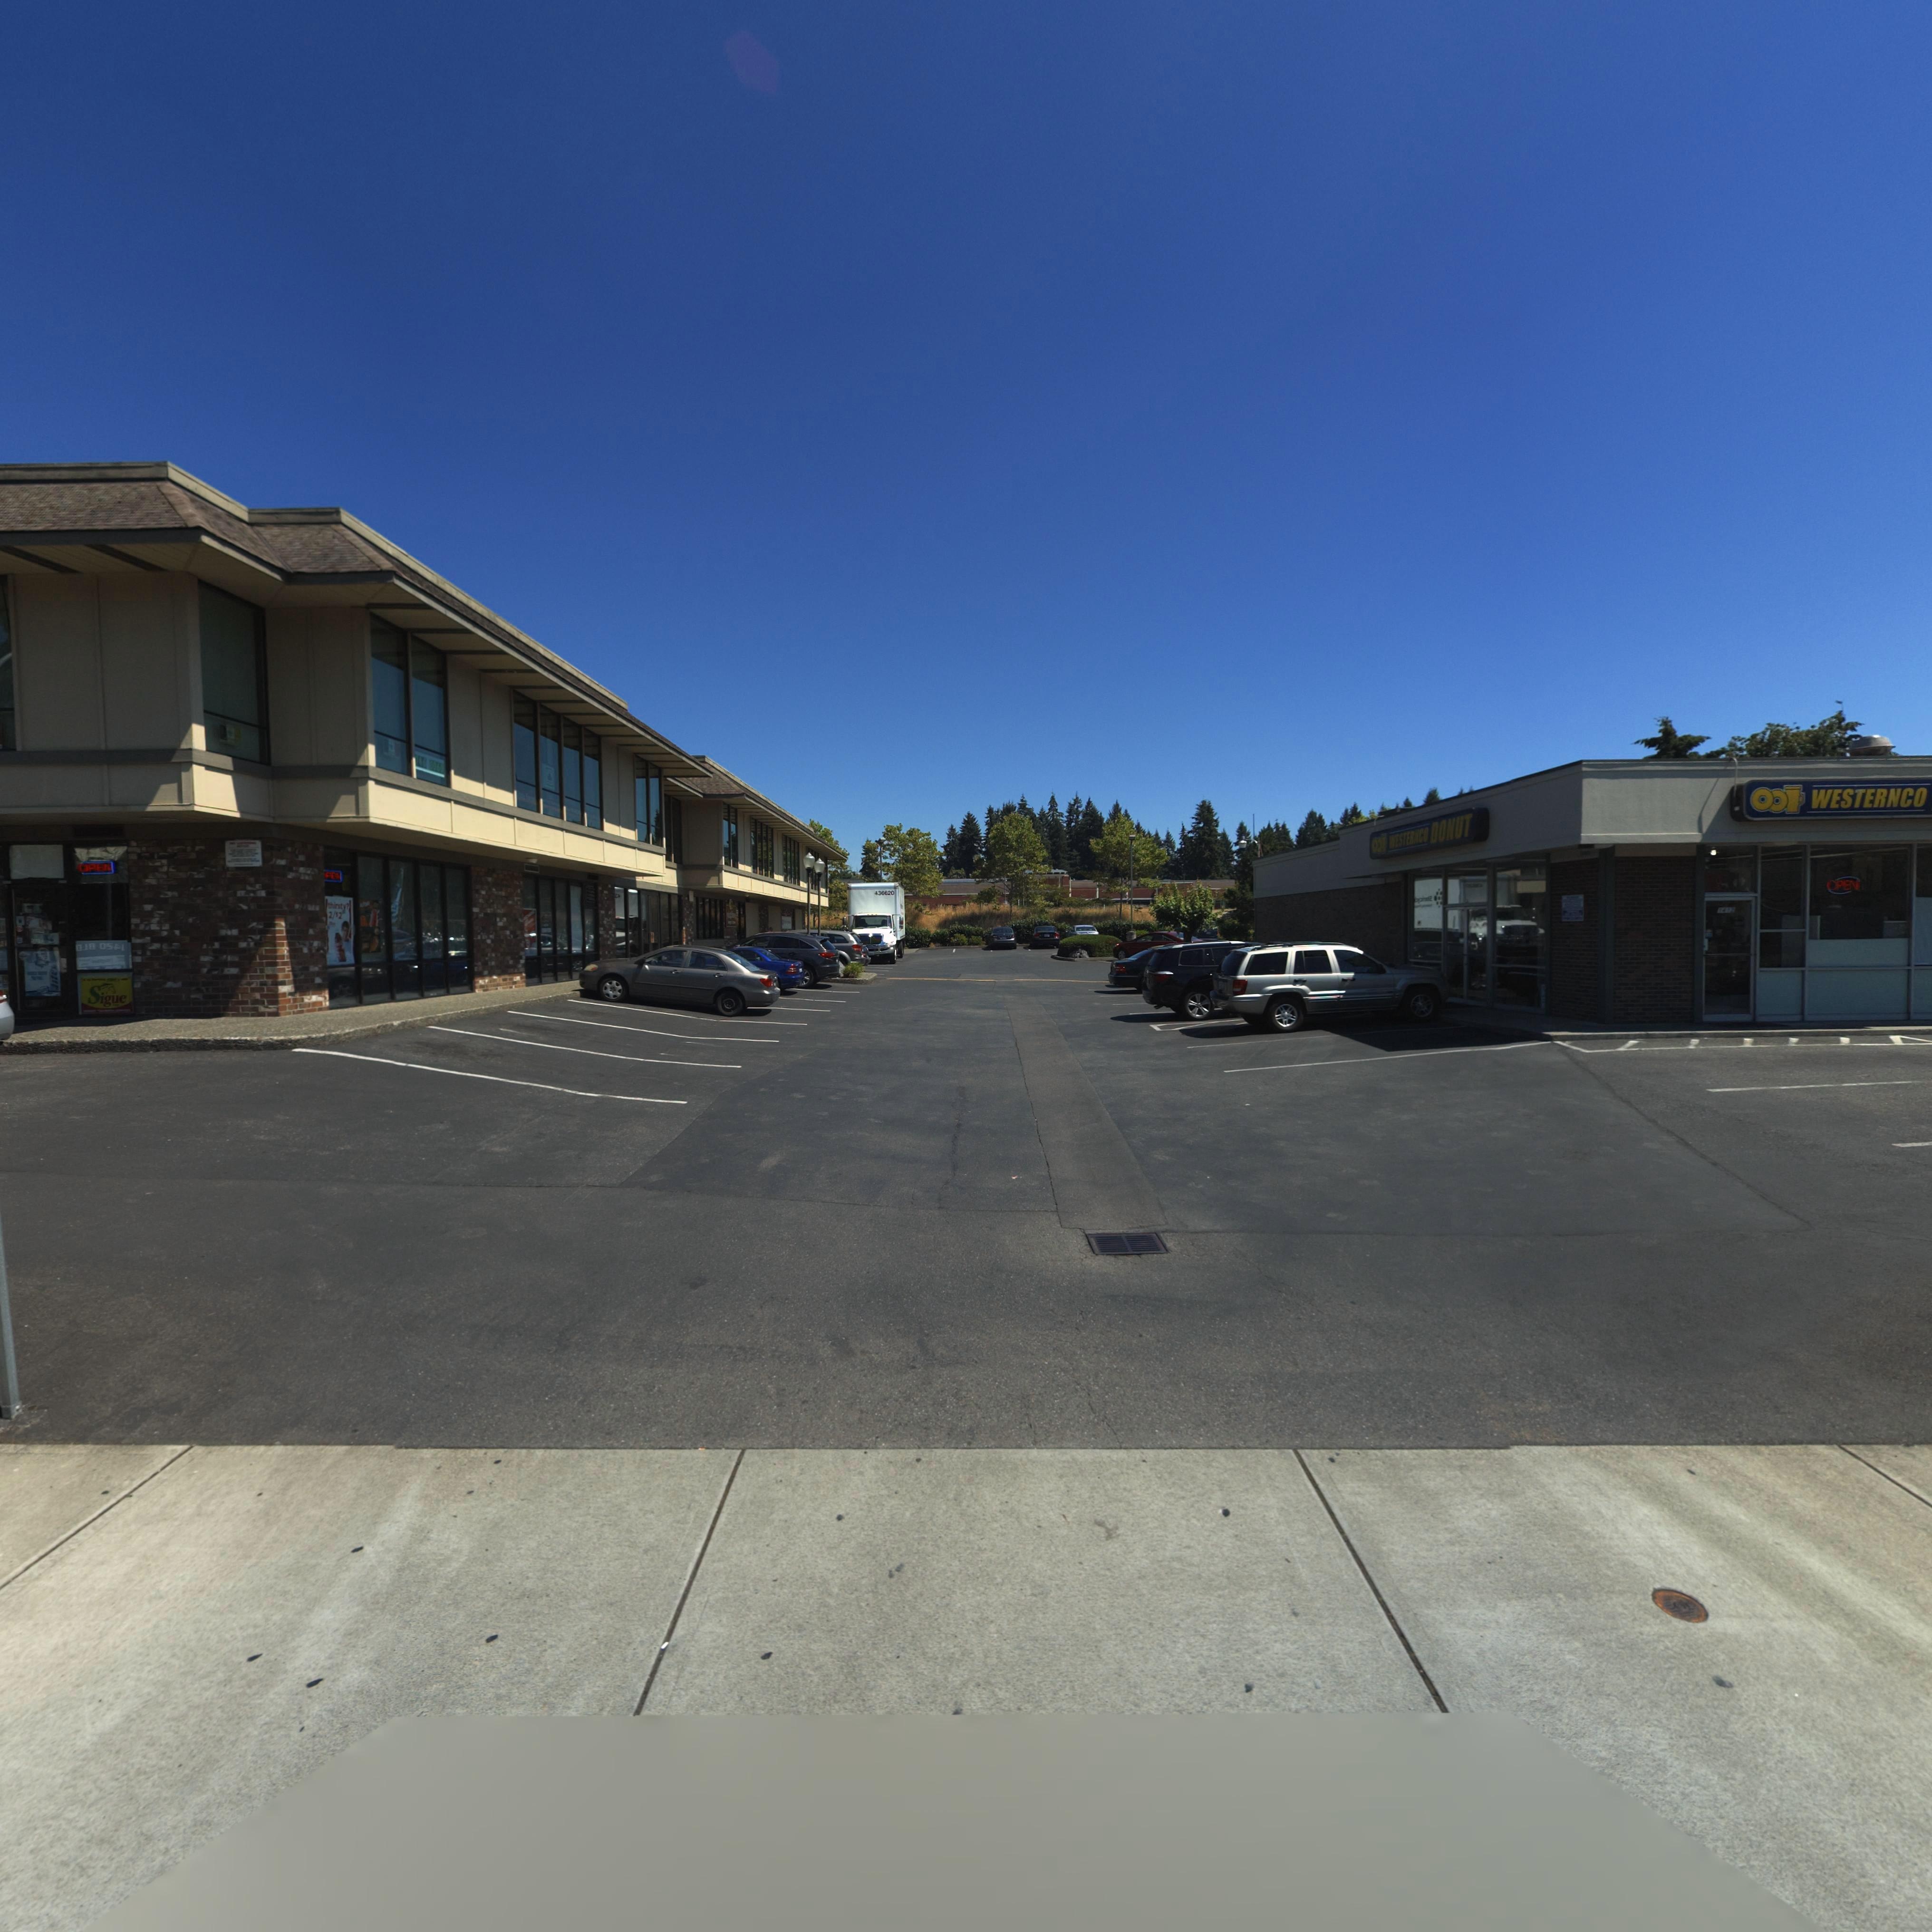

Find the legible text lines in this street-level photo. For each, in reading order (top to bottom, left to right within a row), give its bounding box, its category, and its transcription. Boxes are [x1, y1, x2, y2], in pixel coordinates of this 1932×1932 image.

[1811, 787, 1928, 809] BusinessName: WESTERNCO
[1387, 811, 1473, 852] BusinessName: WESTERNCO DONUTS
[1718, 907, 1737, 912] StreetNumber: 1412